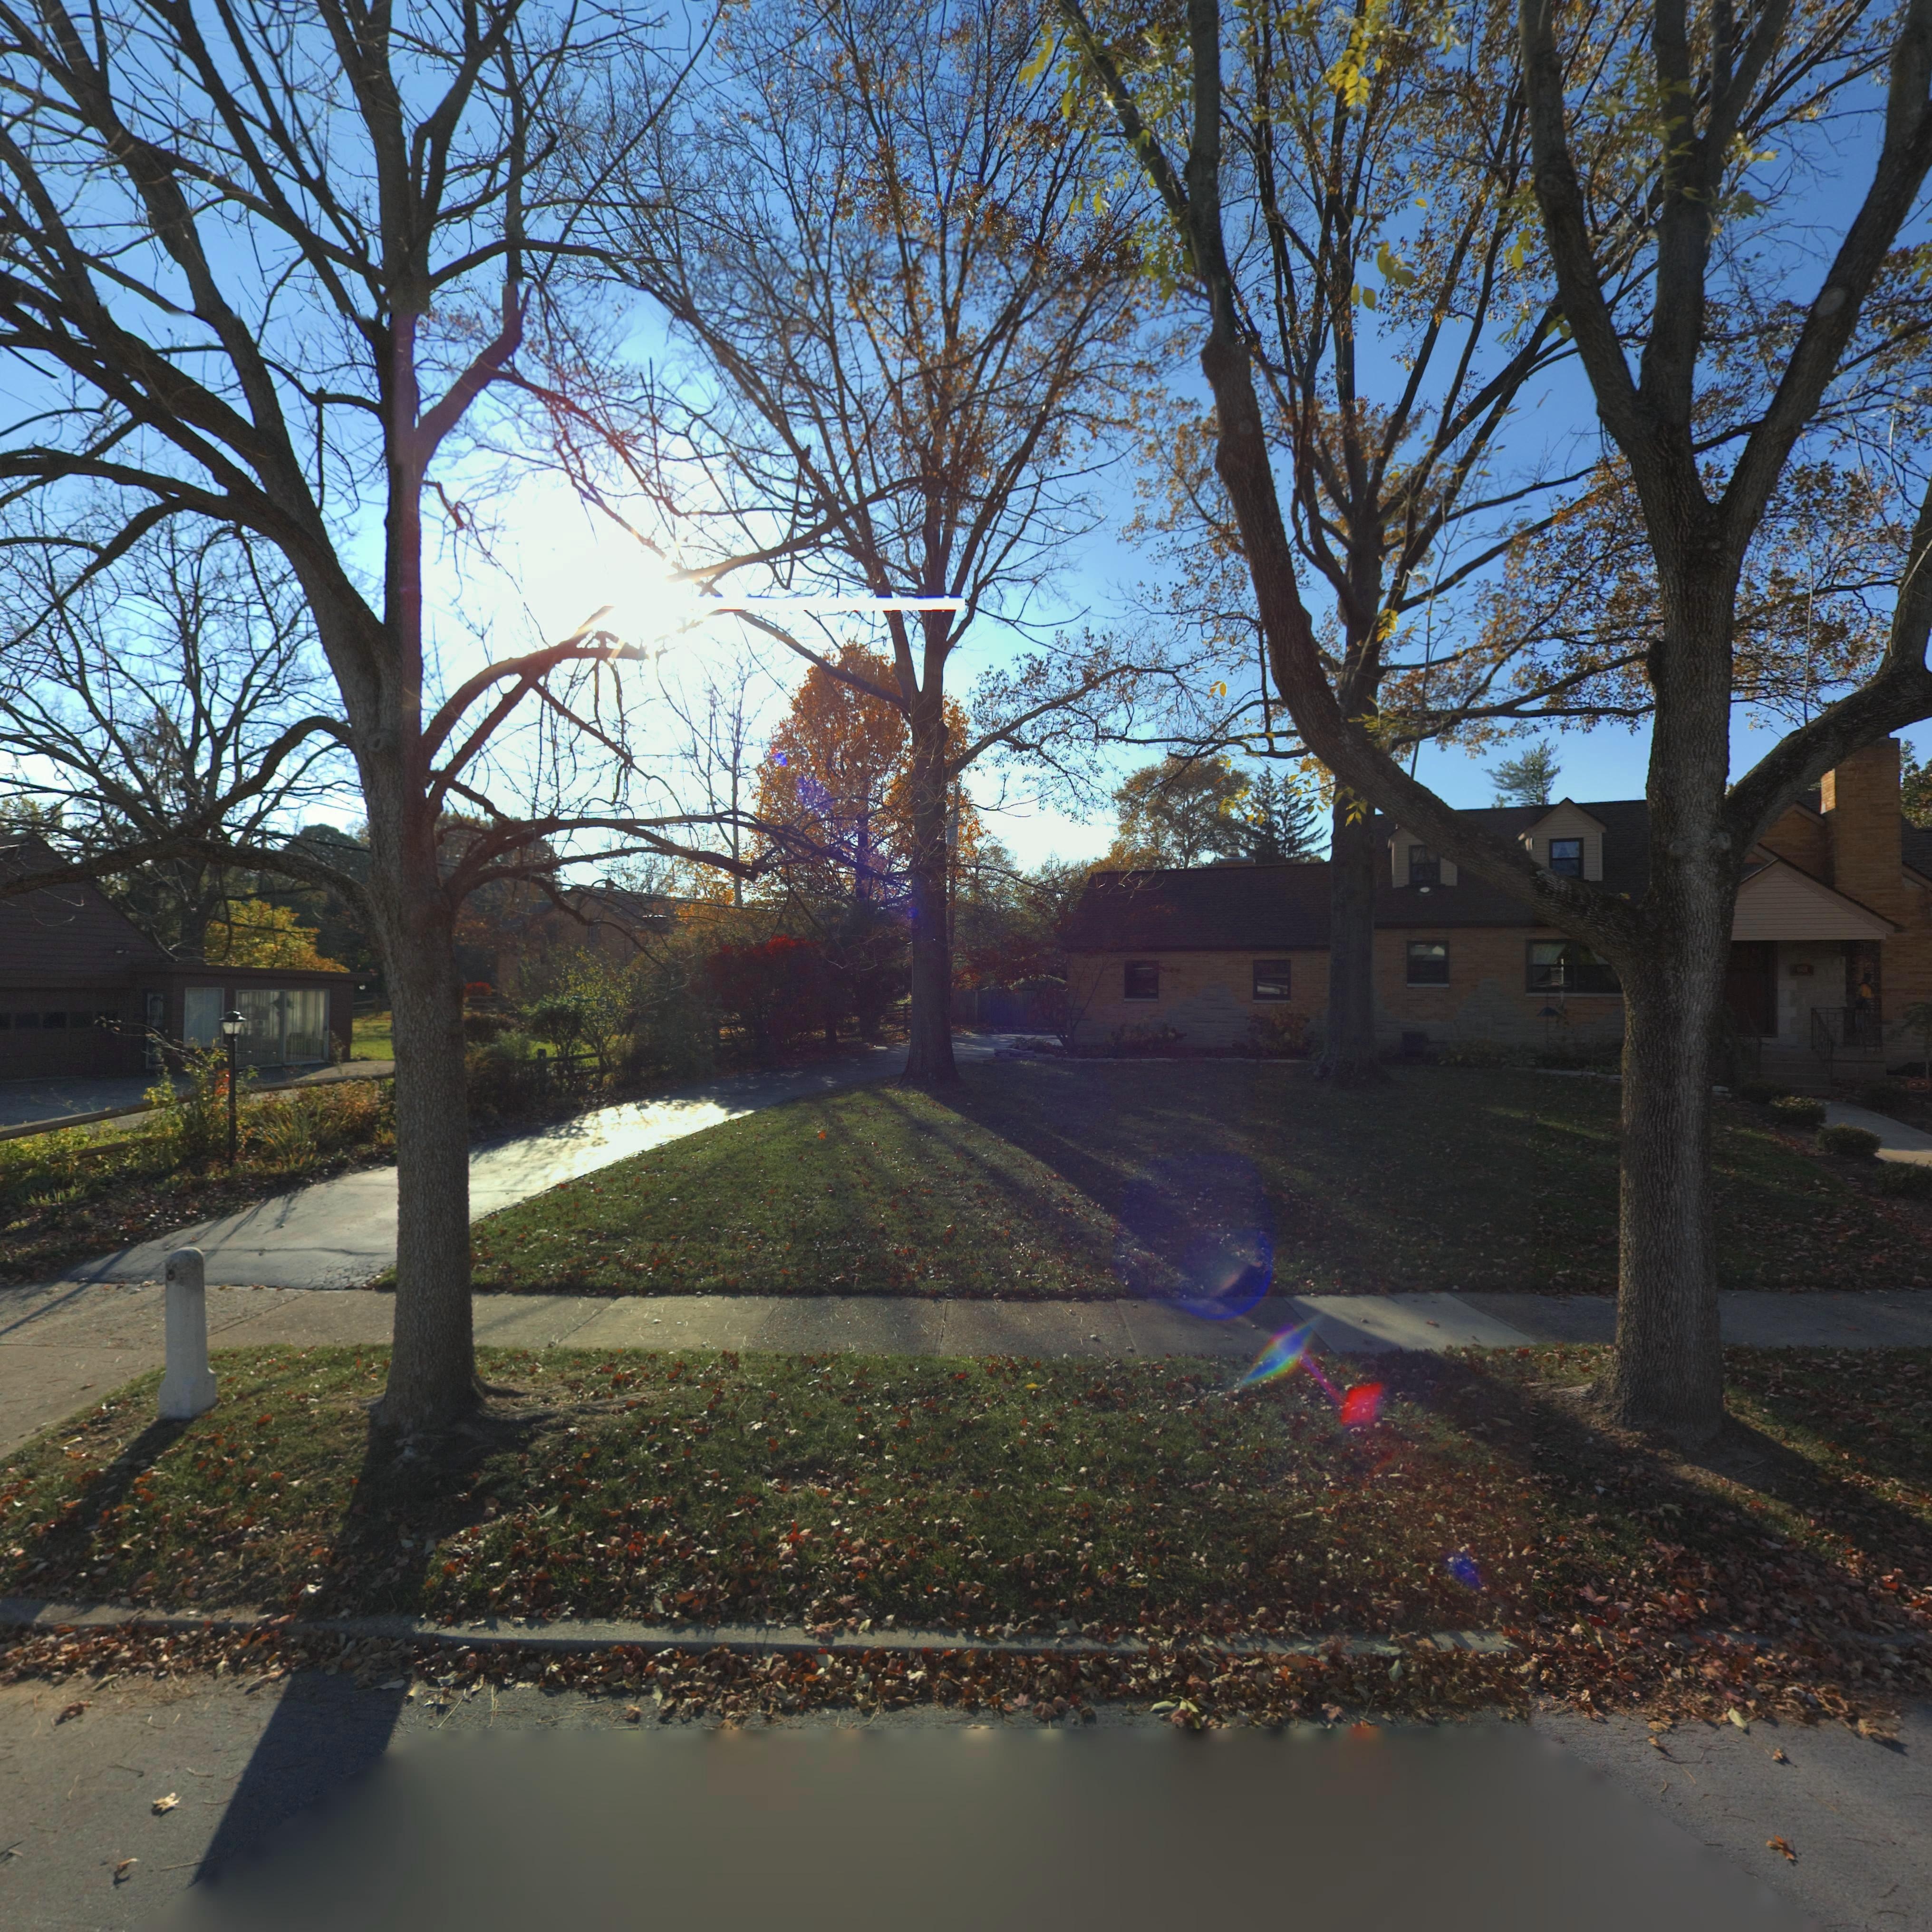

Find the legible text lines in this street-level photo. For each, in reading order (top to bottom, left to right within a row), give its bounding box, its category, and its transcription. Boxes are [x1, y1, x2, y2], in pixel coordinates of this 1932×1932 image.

[1797, 966, 1808, 973] StreetNumber: 608